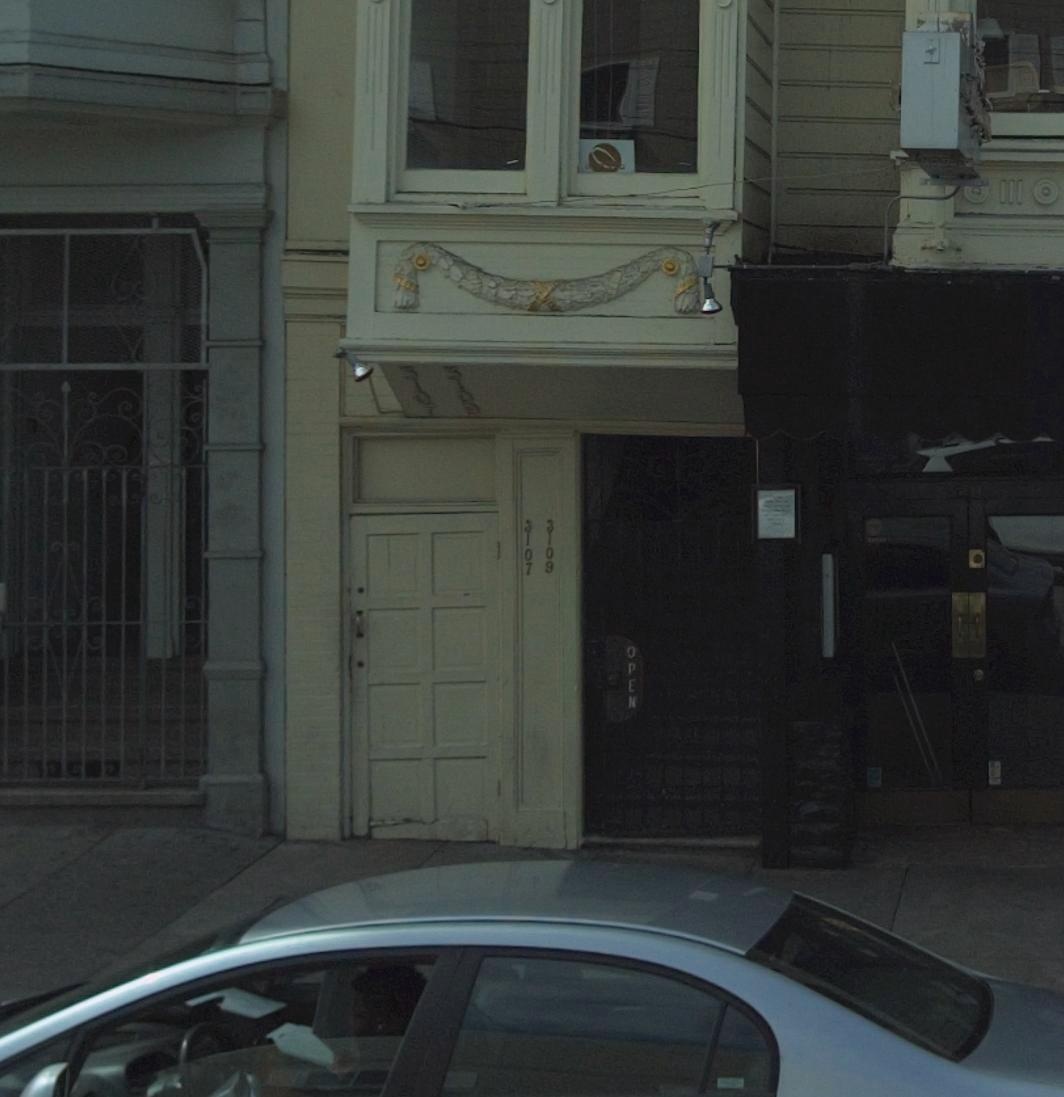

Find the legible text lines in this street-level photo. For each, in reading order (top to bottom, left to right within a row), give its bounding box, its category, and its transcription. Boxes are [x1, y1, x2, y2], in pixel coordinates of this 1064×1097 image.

[521, 517, 536, 578] StreetNumber: 3107
[542, 516, 557, 576] StreetNumber: 3109
[624, 643, 639, 710] None: OPEN